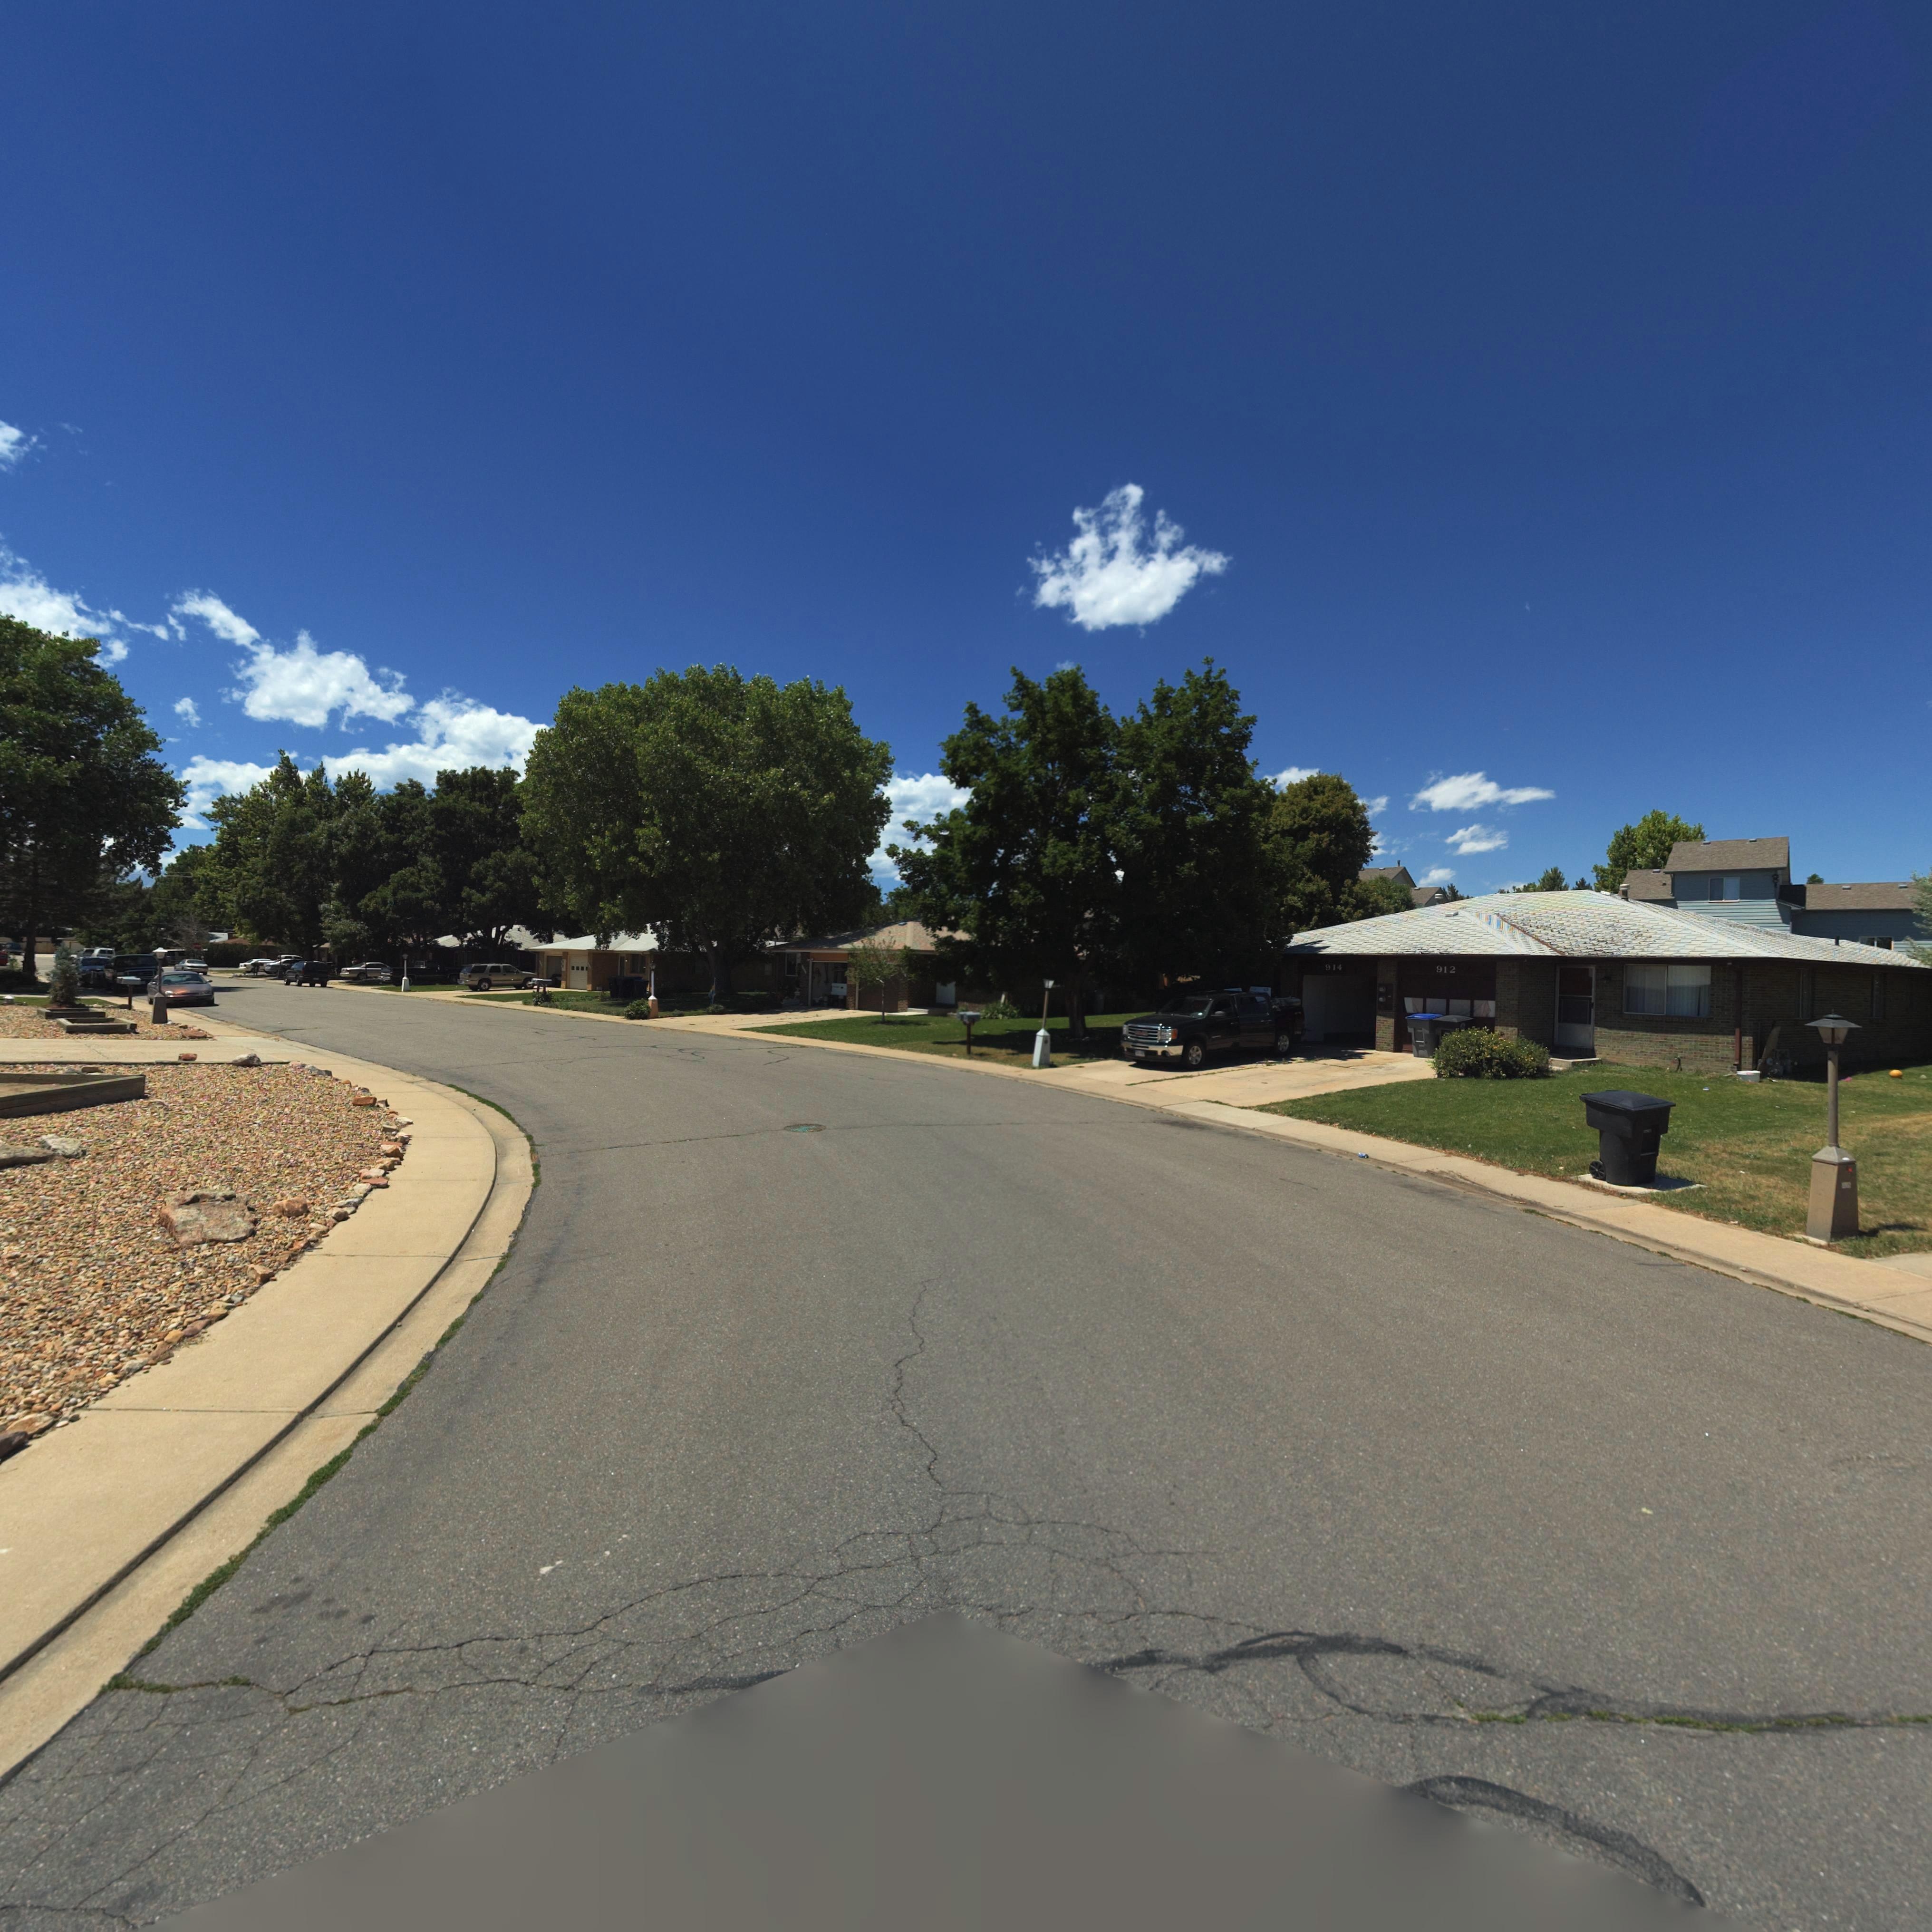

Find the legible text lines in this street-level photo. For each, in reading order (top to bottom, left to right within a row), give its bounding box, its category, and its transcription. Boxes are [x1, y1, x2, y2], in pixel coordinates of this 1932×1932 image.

[1325, 964, 1342, 970] StreetNumber: 914
[1436, 965, 1456, 973] StreetNumber: 912